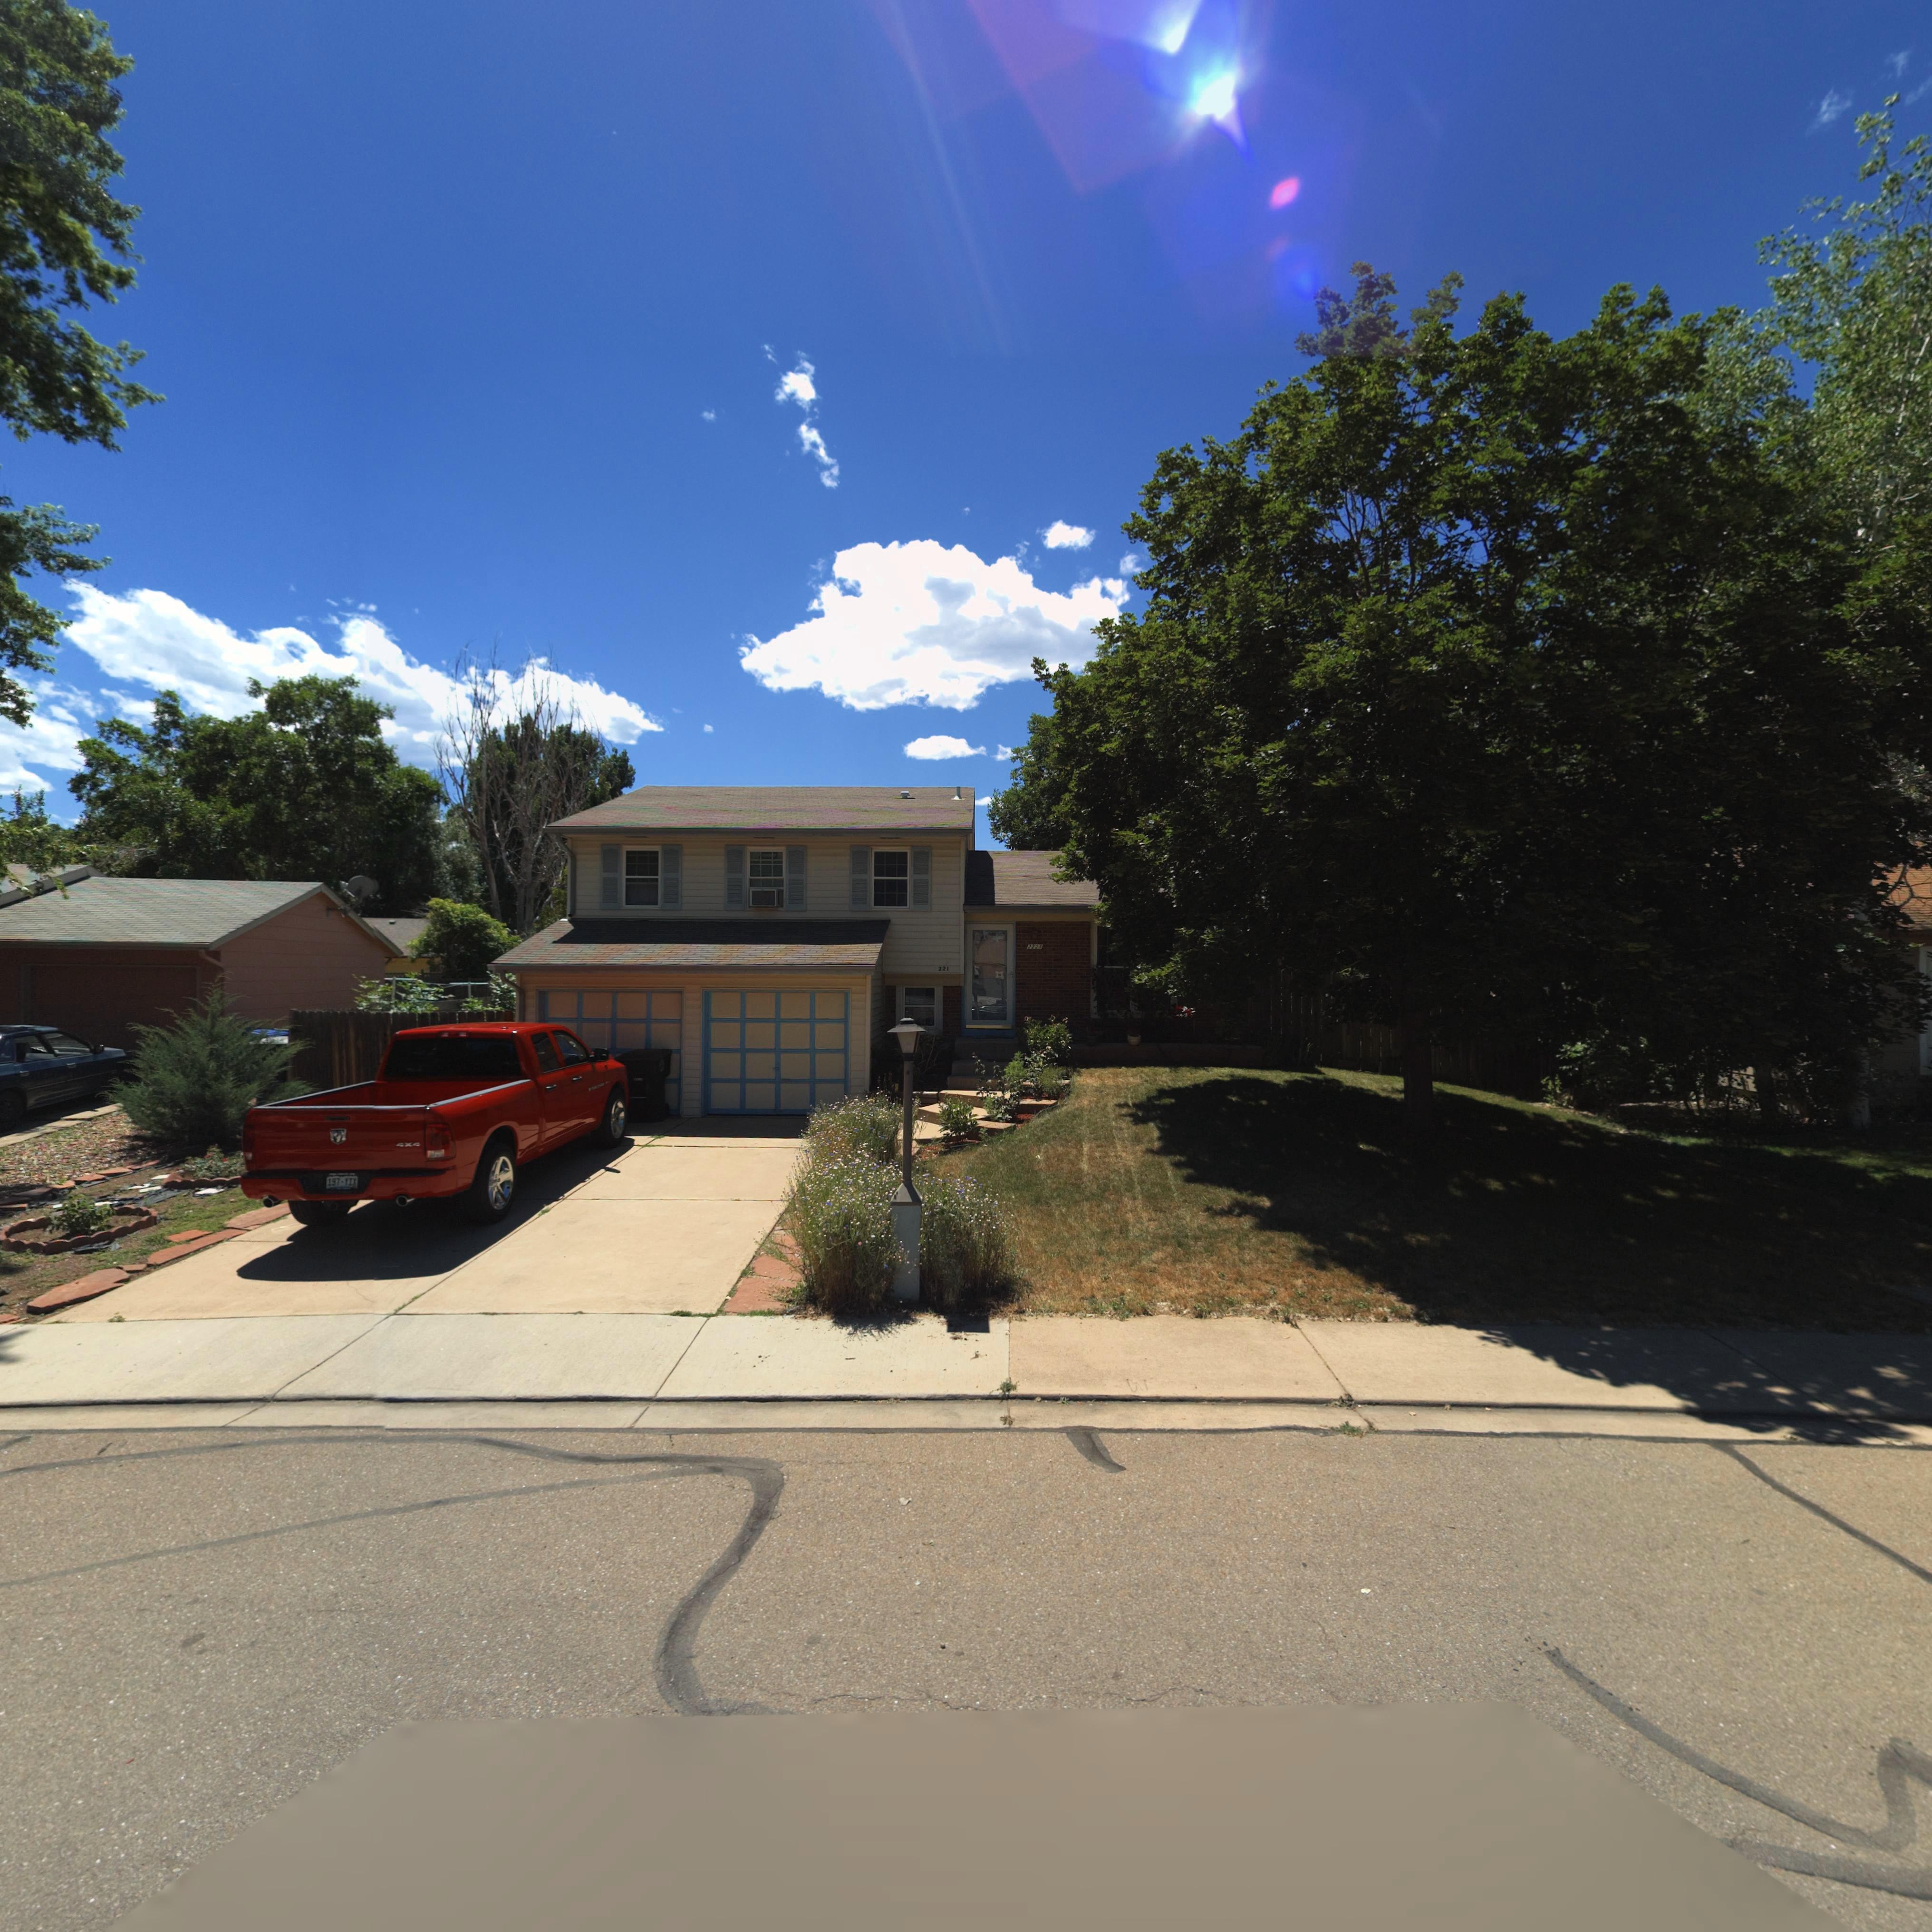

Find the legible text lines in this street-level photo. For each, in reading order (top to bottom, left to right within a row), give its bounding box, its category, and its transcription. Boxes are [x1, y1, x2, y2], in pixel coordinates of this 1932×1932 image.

[1027, 944, 1042, 949] StreetNumber: 2221
[938, 966, 948, 971] StreetNumber: 221